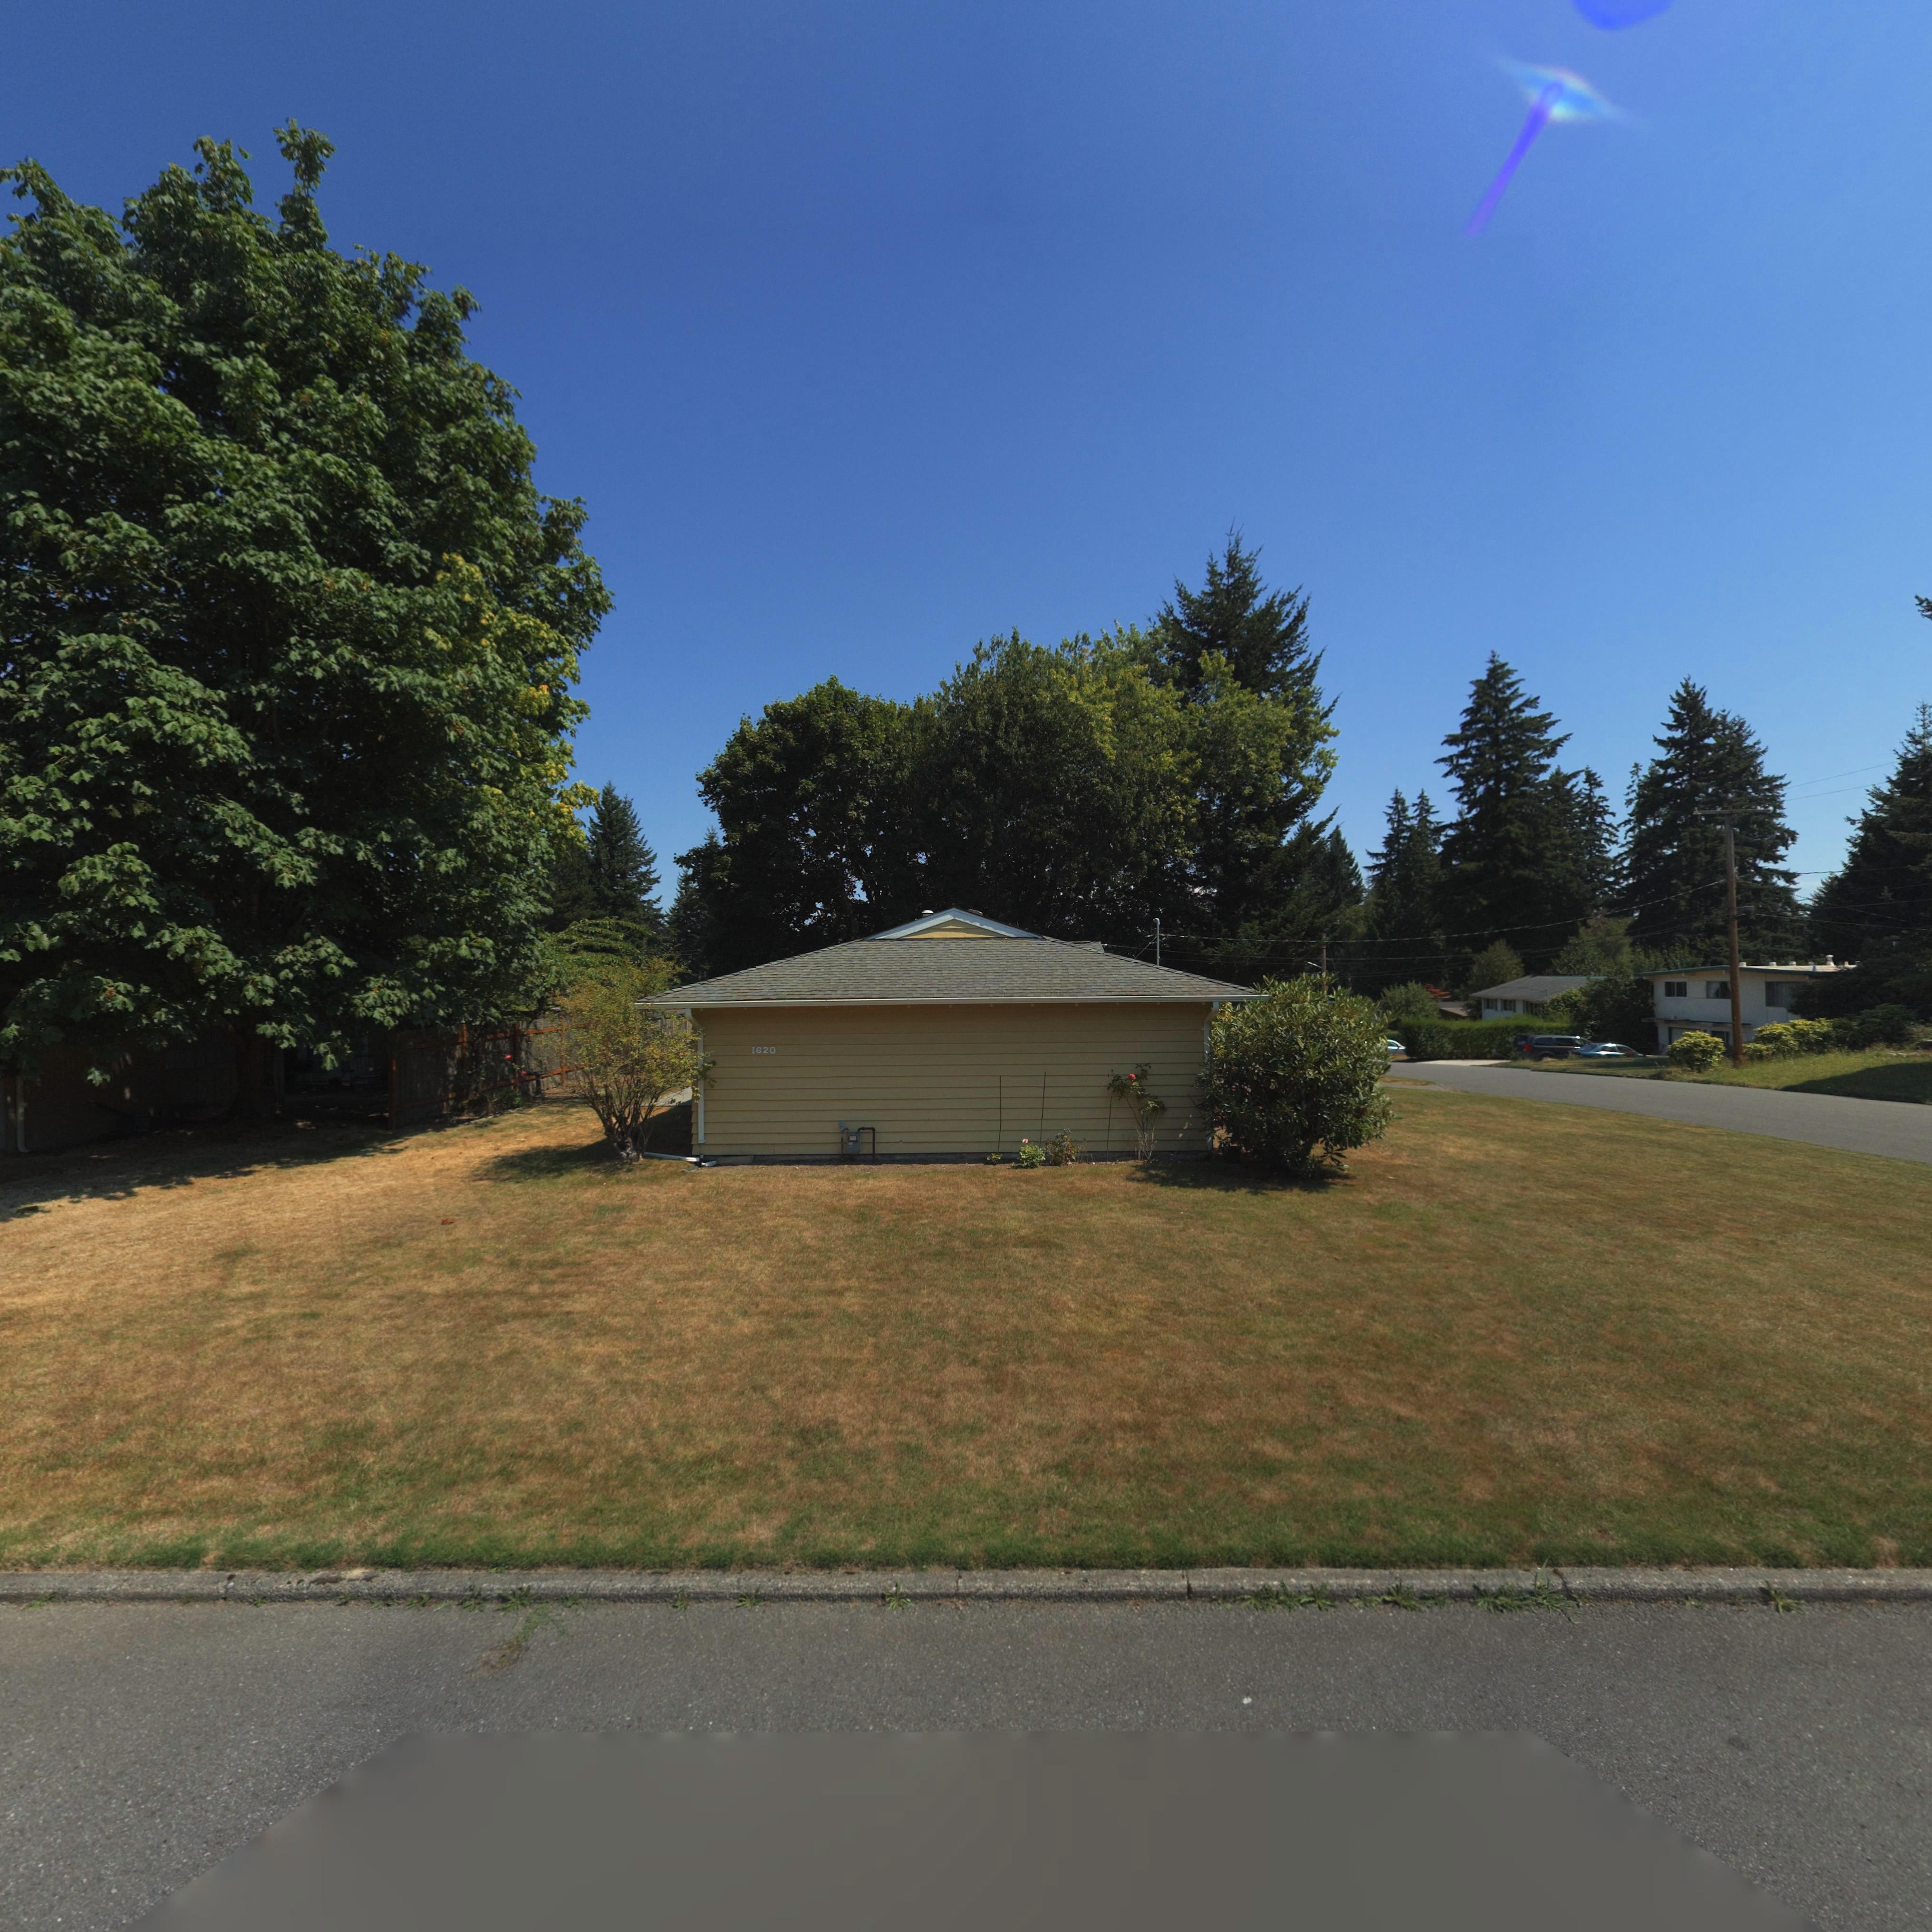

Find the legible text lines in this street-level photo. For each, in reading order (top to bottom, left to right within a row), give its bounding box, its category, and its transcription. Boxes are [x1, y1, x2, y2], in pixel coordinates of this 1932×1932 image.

[751, 1045, 776, 1054] StreetNumber: 1620